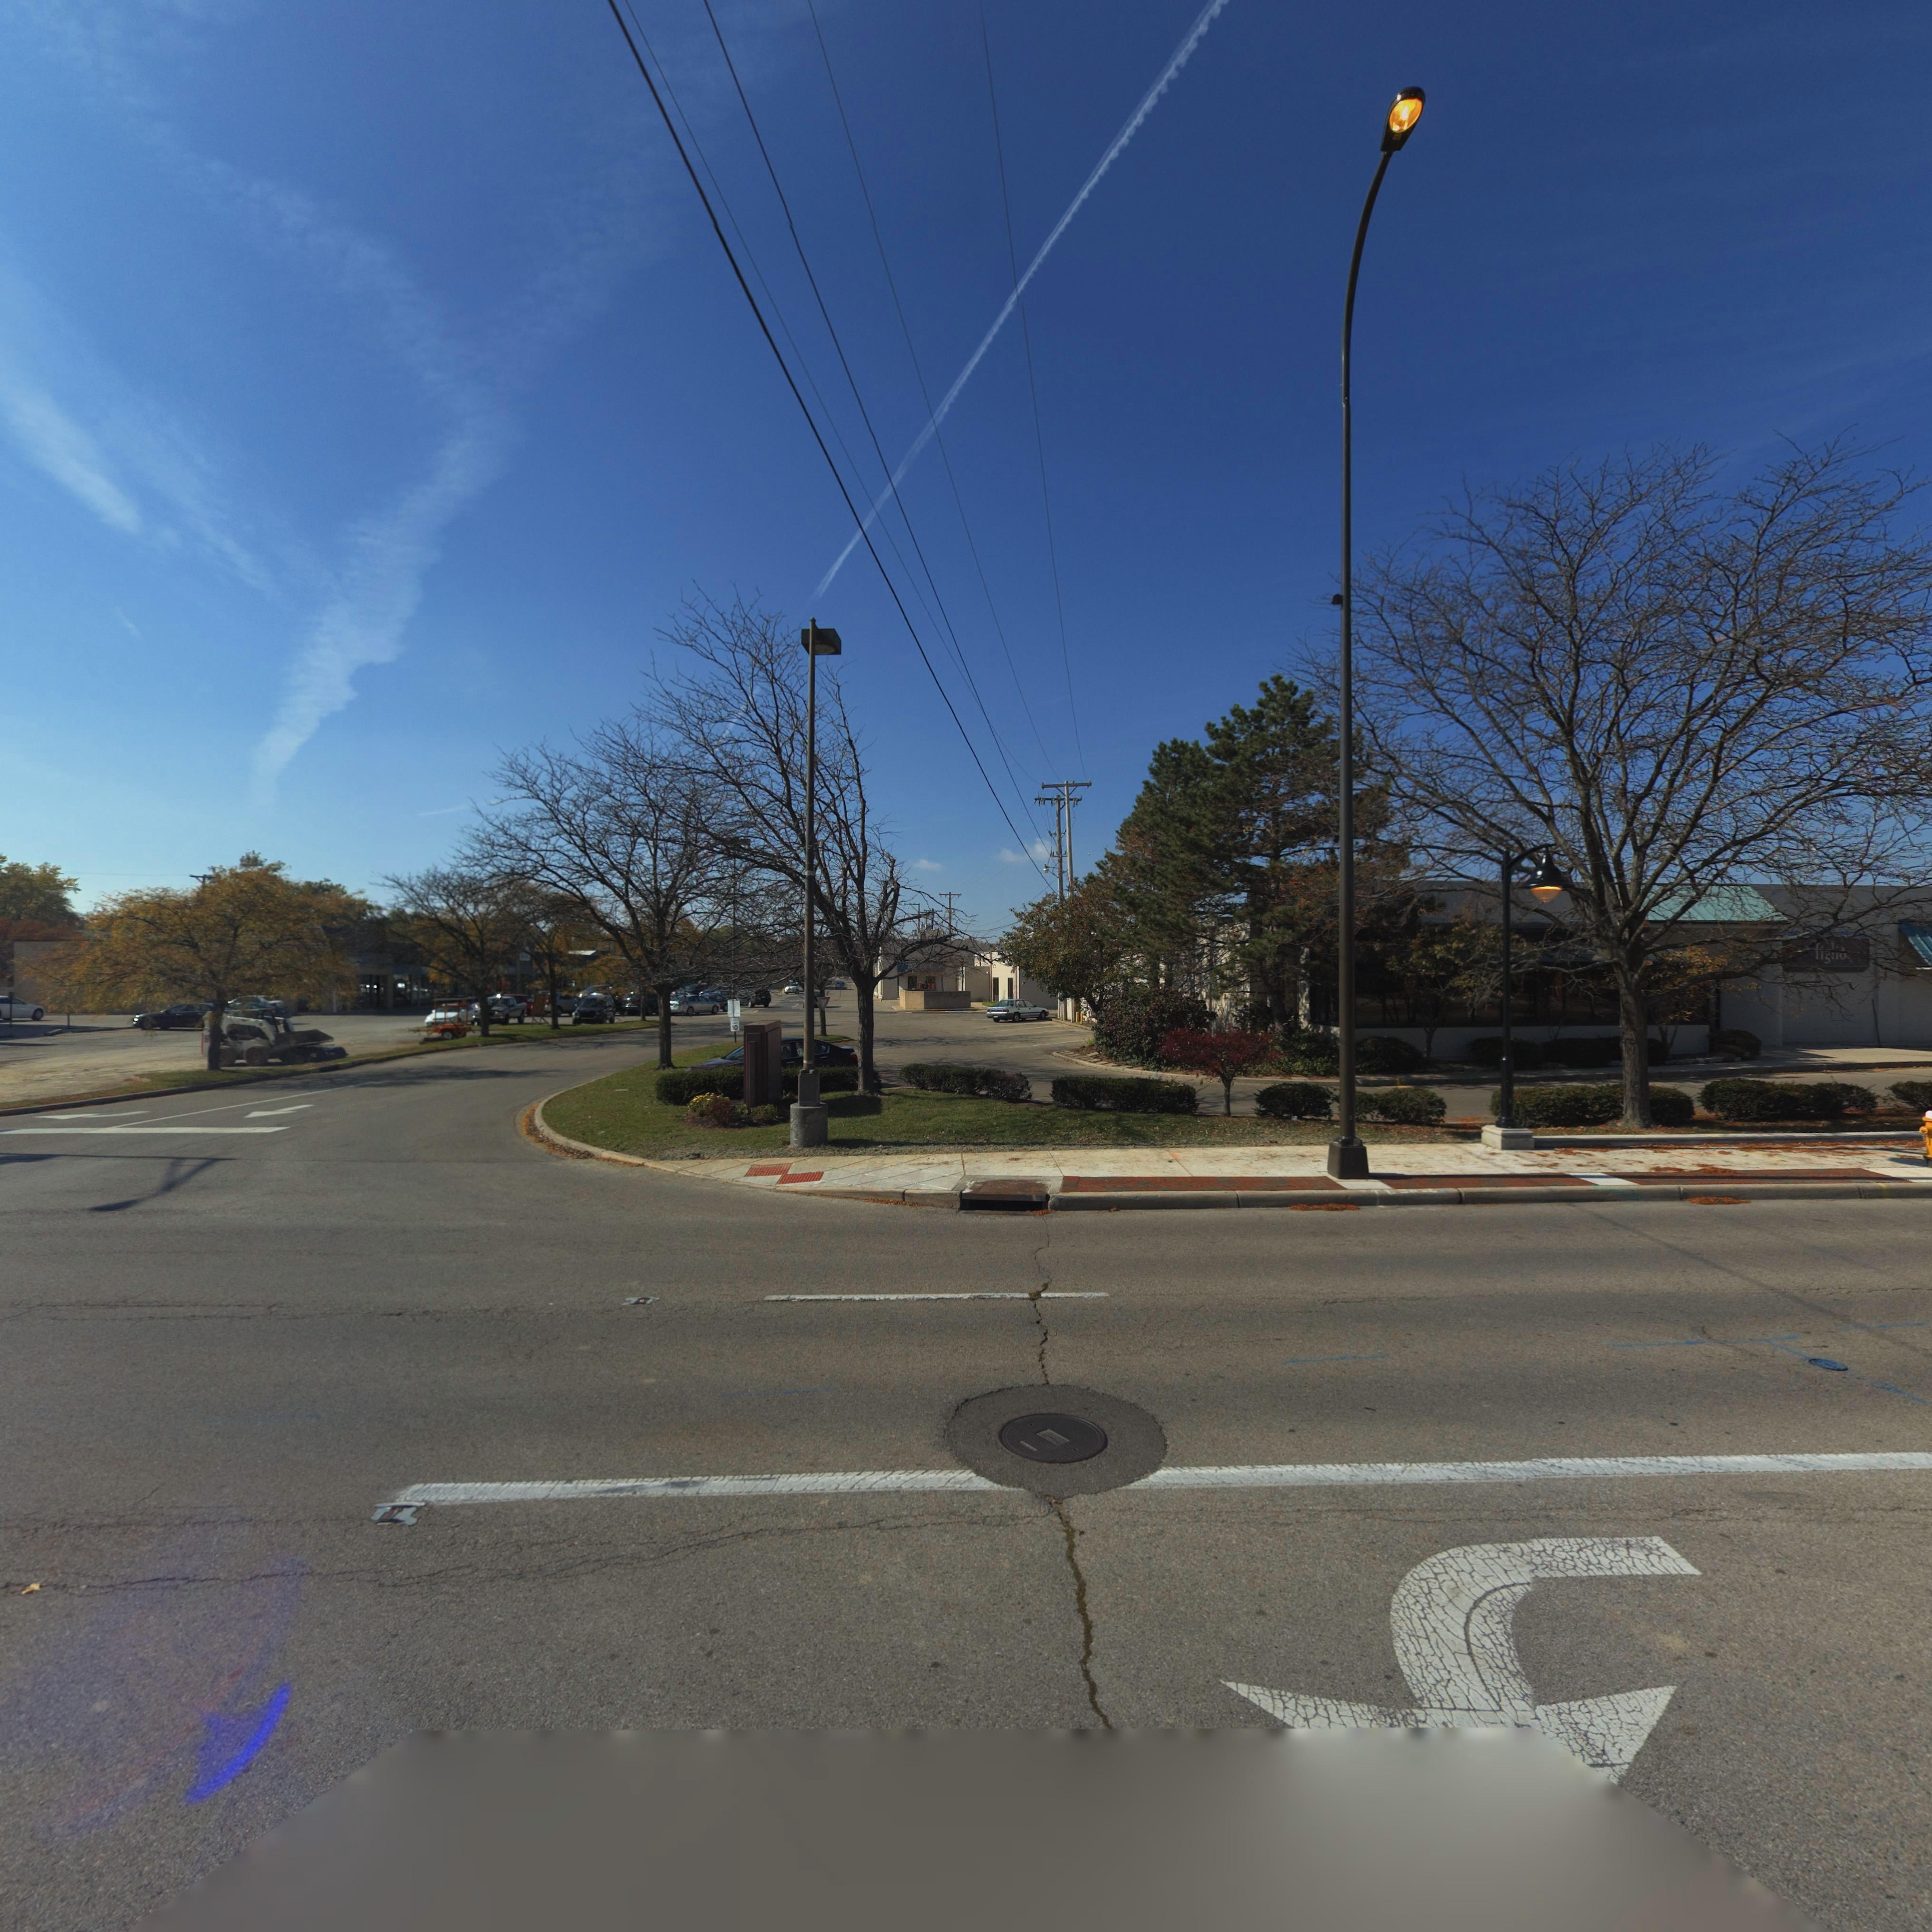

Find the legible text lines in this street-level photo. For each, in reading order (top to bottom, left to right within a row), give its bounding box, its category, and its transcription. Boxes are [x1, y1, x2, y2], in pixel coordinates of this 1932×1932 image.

[731, 1024, 738, 1031] None: 10